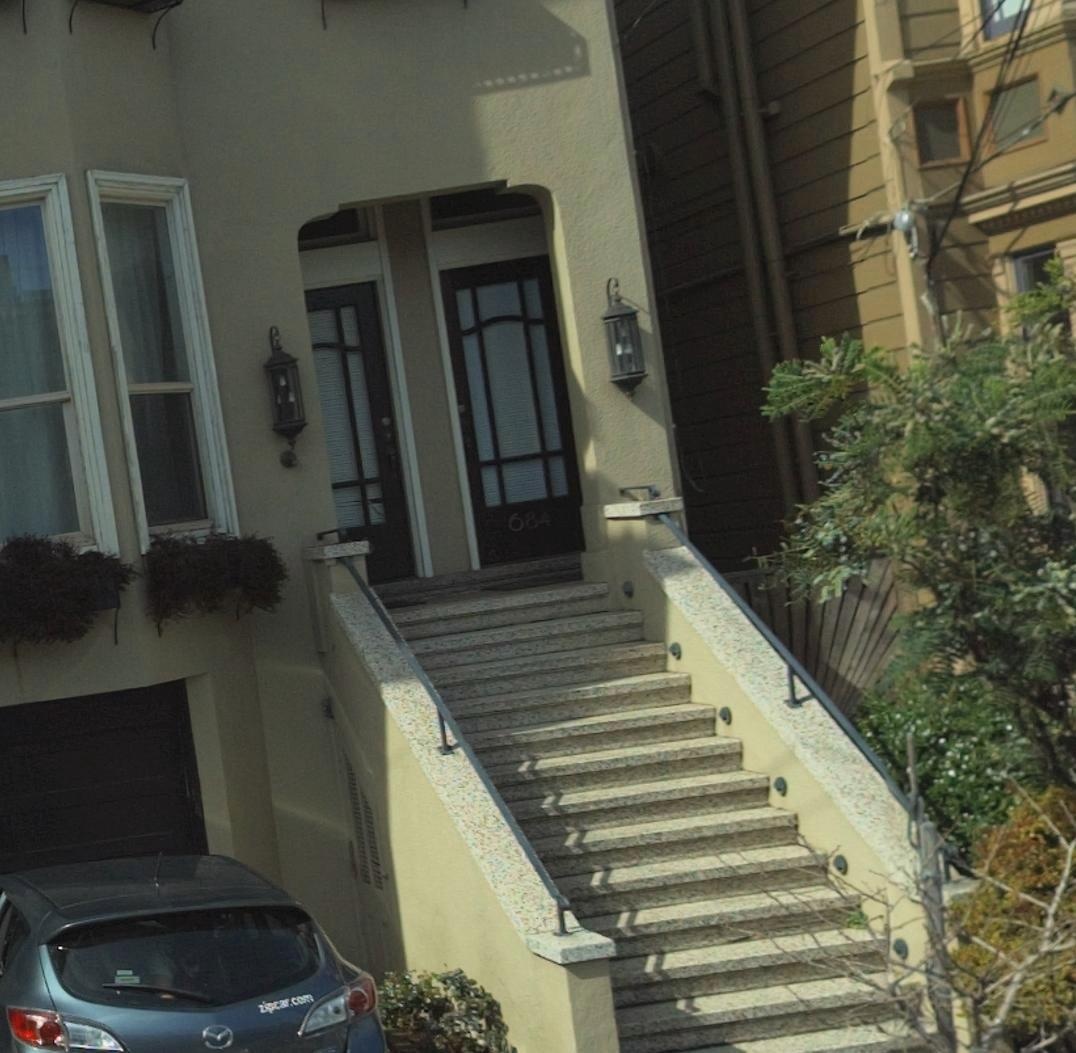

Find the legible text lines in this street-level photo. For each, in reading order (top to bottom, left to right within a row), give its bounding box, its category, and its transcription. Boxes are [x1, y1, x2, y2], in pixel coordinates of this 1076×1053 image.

[507, 505, 556, 535] StreetNumber: 684
[255, 992, 317, 1016] None: zipcar.com